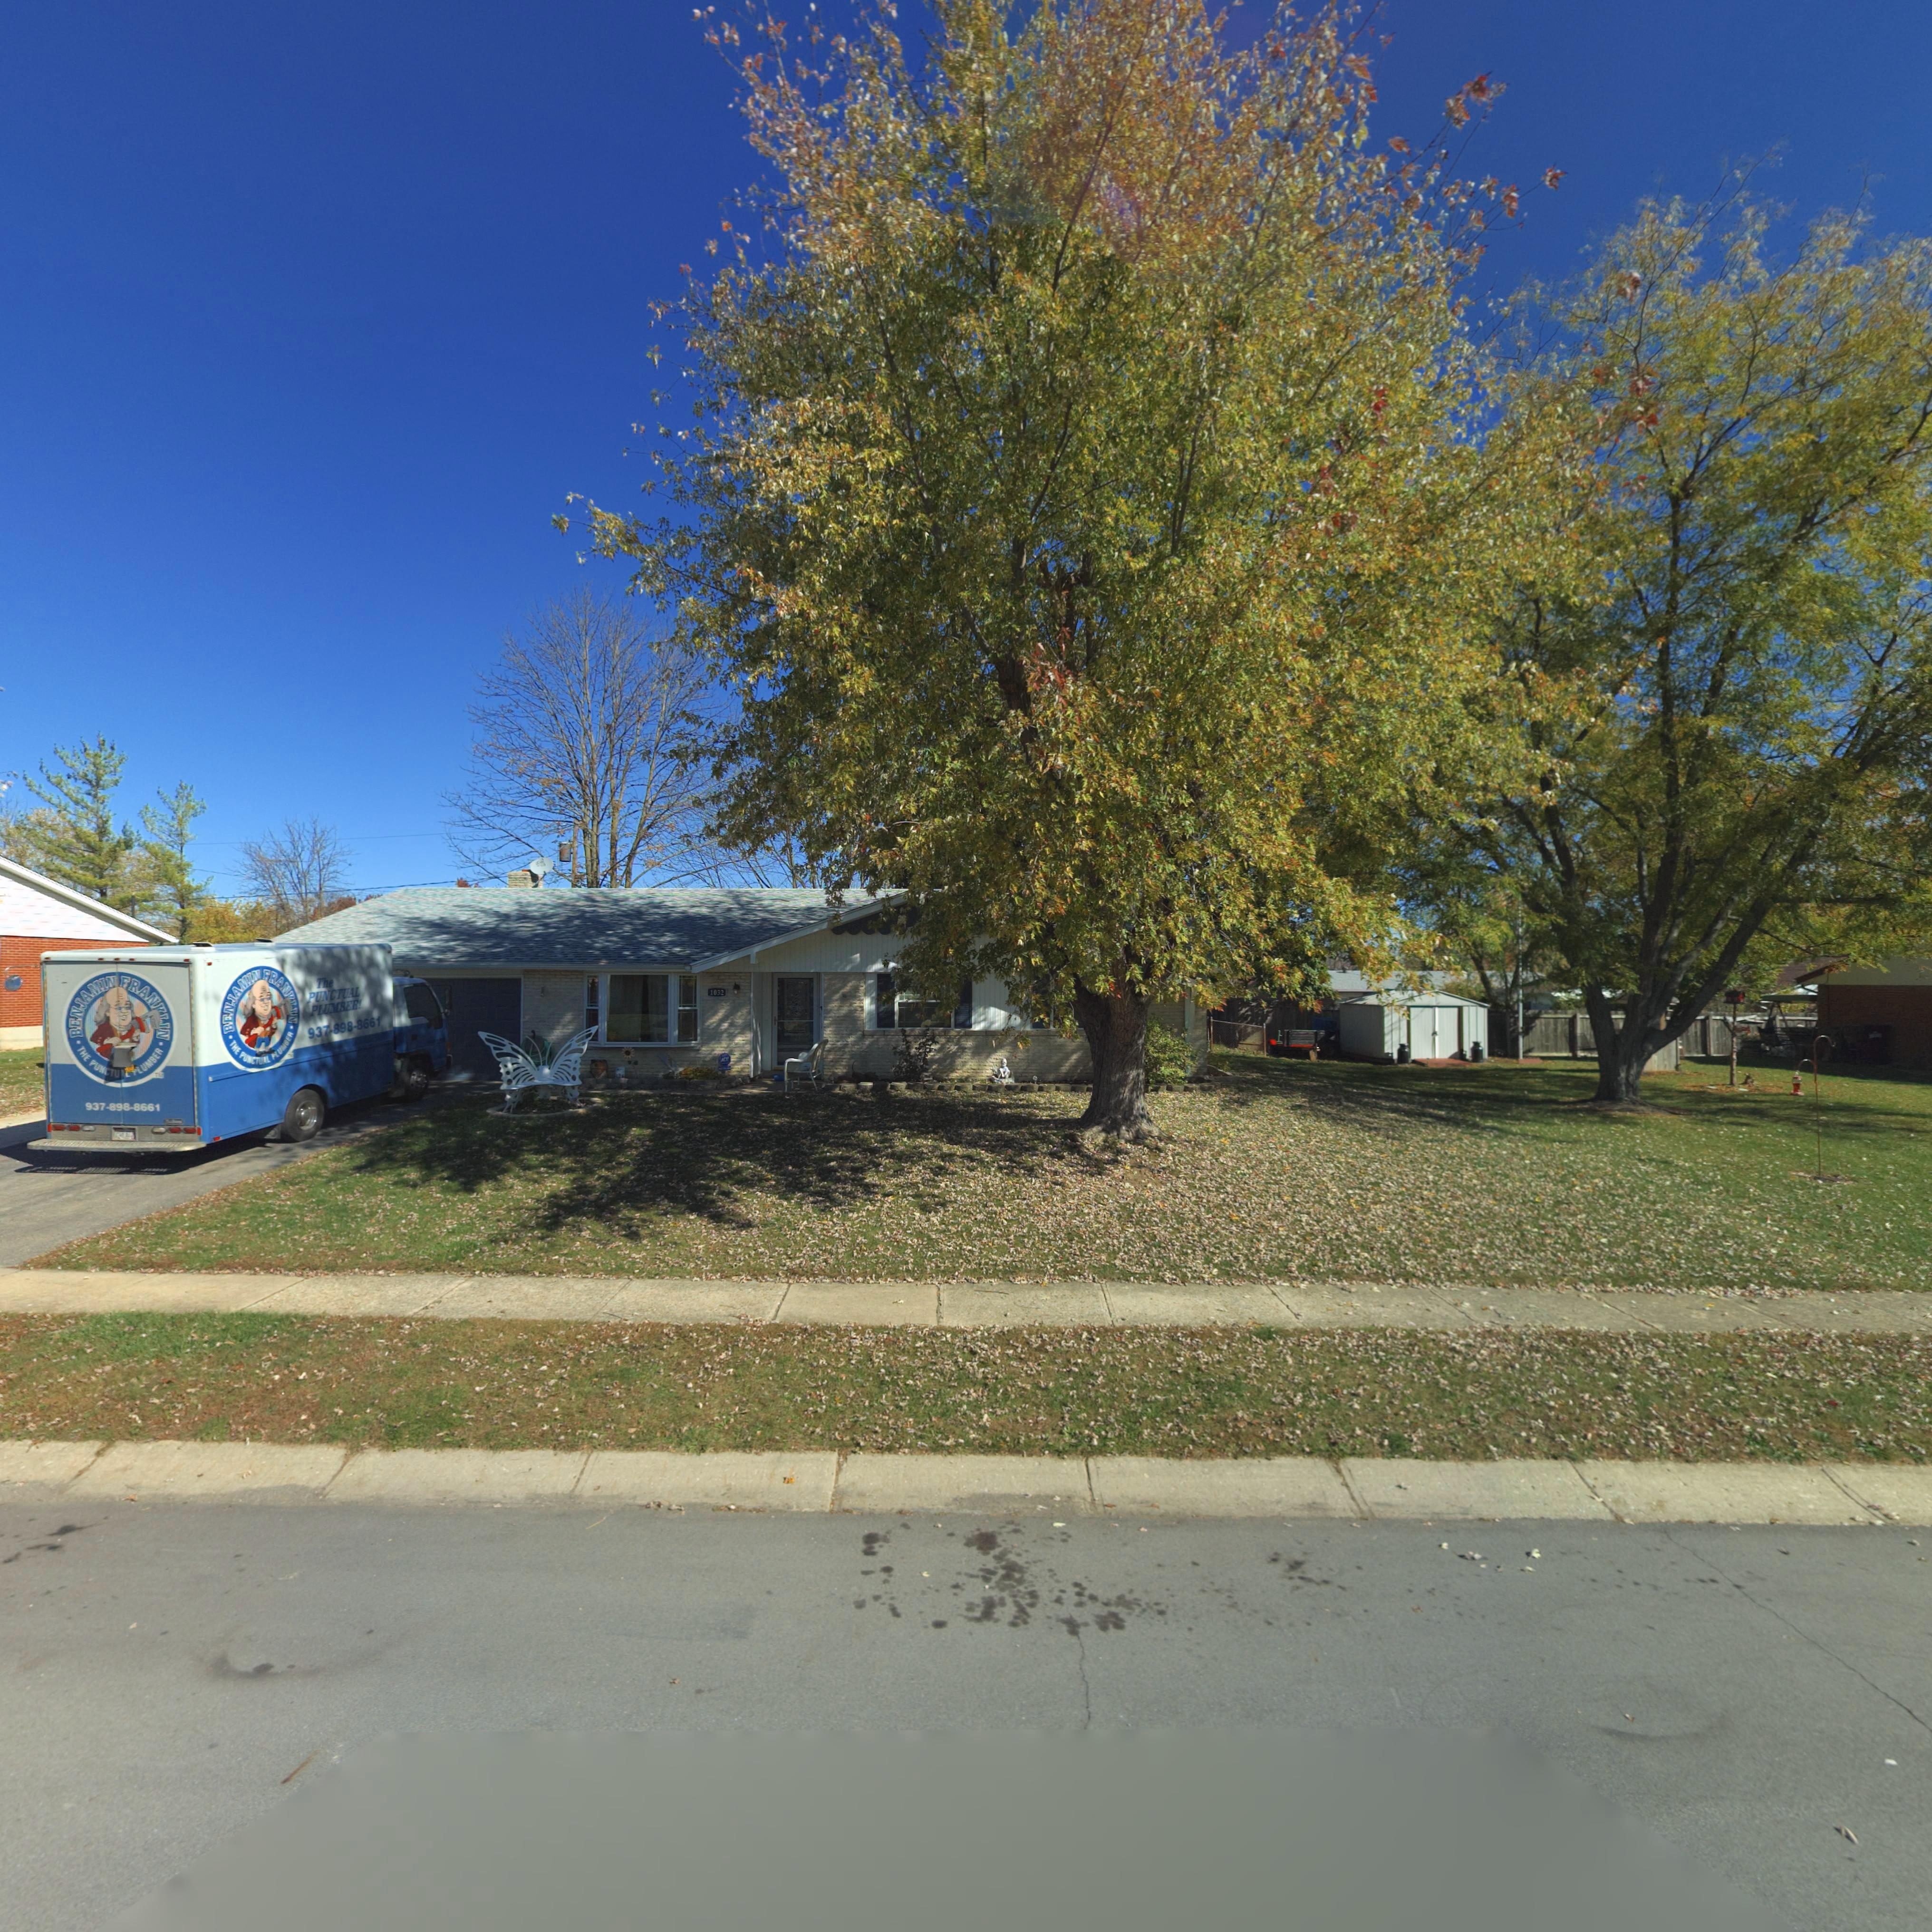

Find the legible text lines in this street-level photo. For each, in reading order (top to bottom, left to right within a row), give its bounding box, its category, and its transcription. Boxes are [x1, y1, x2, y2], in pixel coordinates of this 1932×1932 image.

[709, 989, 724, 996] StreetNumber: 1032